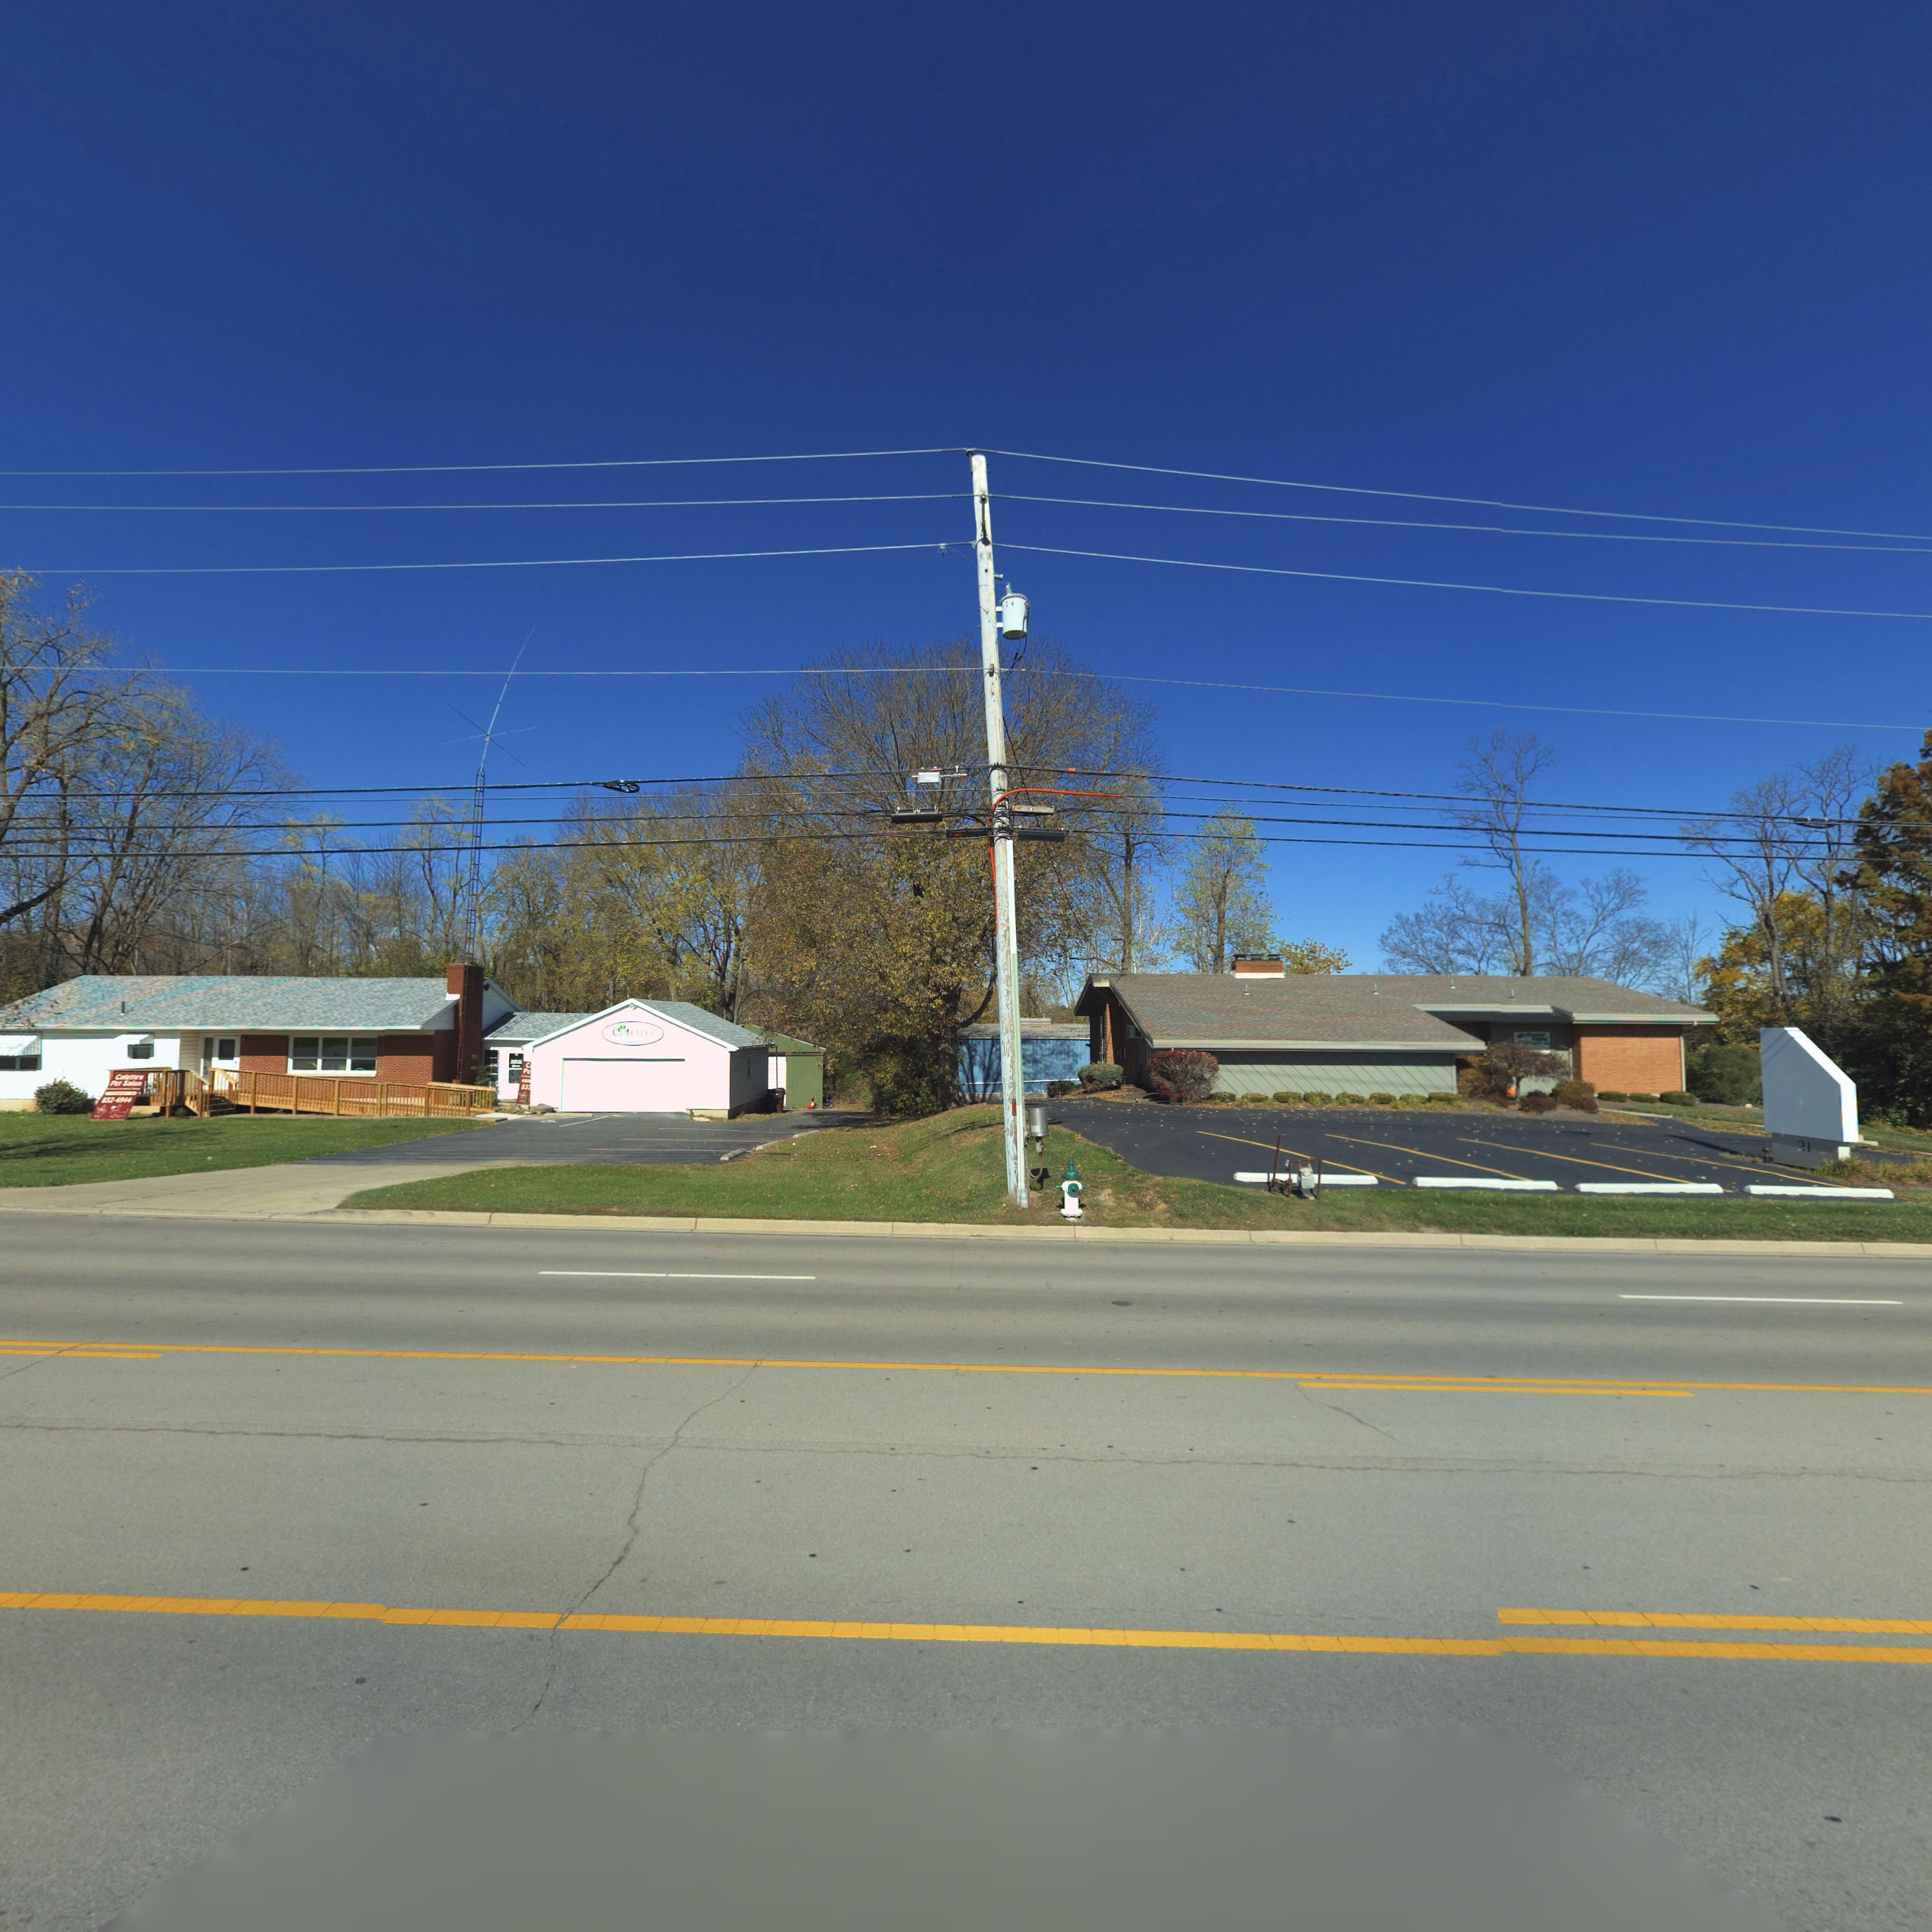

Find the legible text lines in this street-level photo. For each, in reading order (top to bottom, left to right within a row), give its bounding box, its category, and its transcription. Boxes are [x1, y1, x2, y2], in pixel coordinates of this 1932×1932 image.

[612, 1026, 655, 1037] BusinessName: COLETTES
[1797, 1140, 1812, 1153] StreetNumber: 21